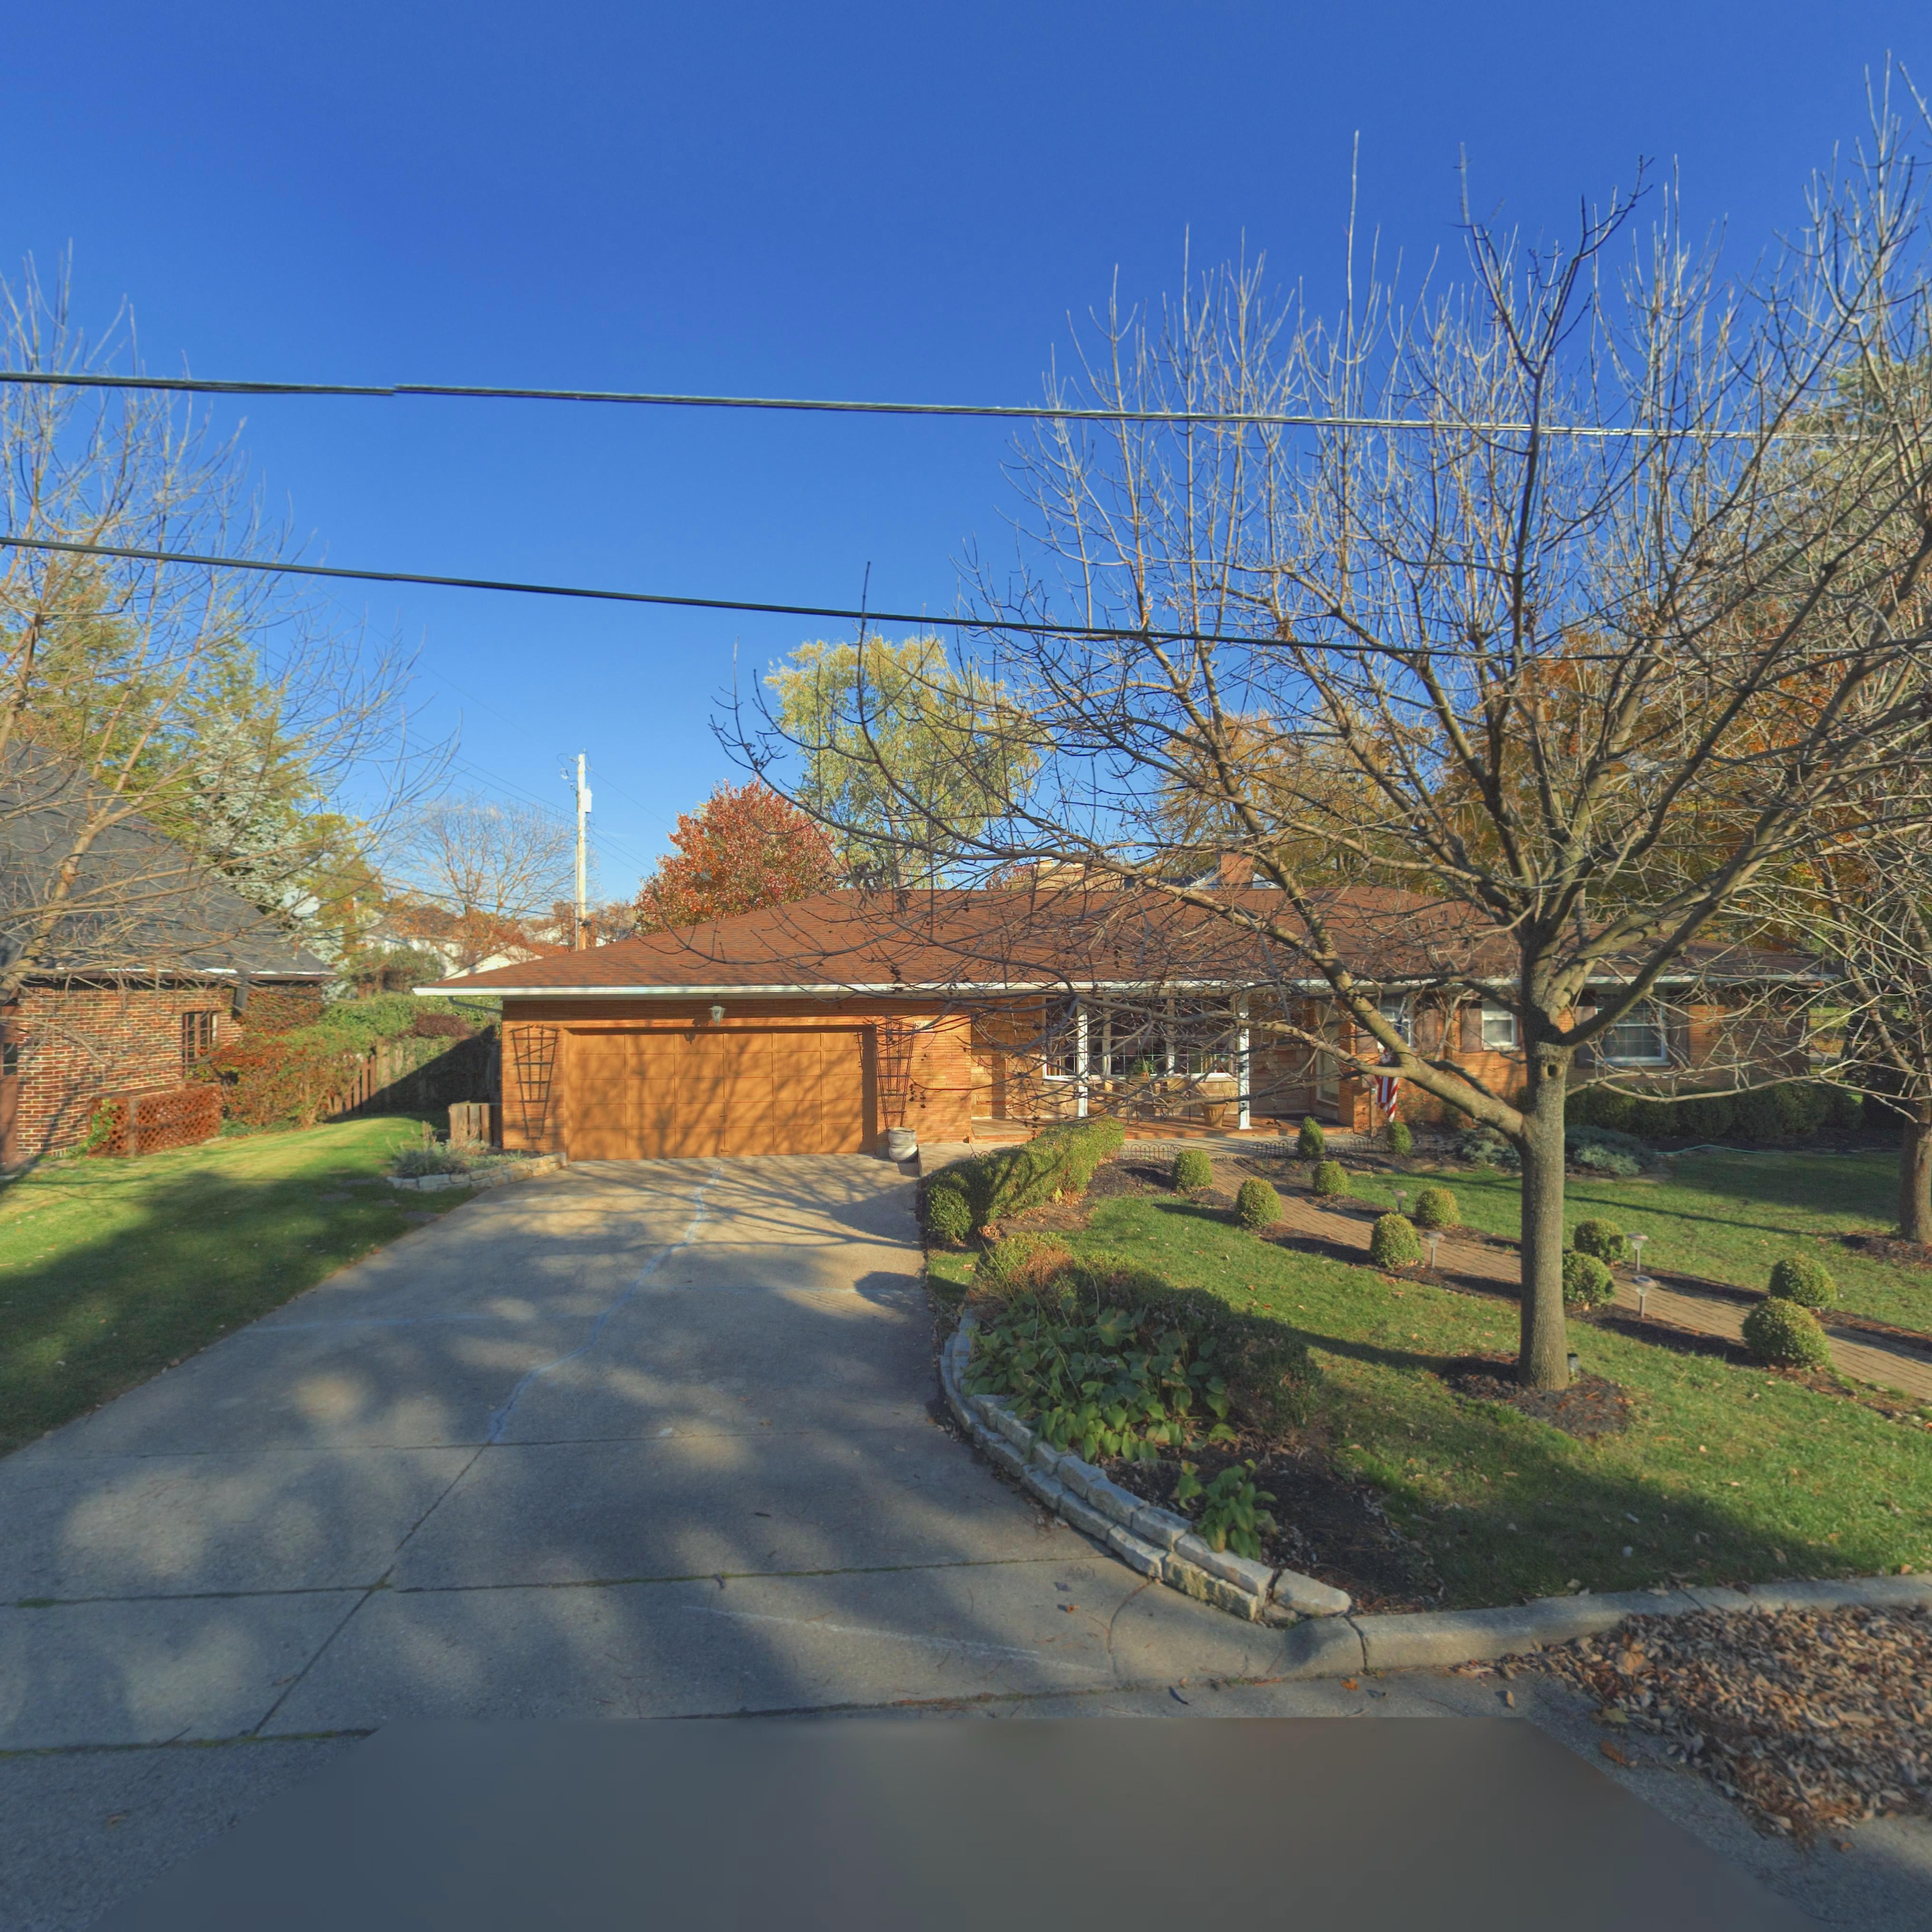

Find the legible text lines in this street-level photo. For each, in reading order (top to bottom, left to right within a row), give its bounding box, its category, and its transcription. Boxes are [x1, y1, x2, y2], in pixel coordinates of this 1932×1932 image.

[916, 1022, 932, 1029] StreetNumber: 7**